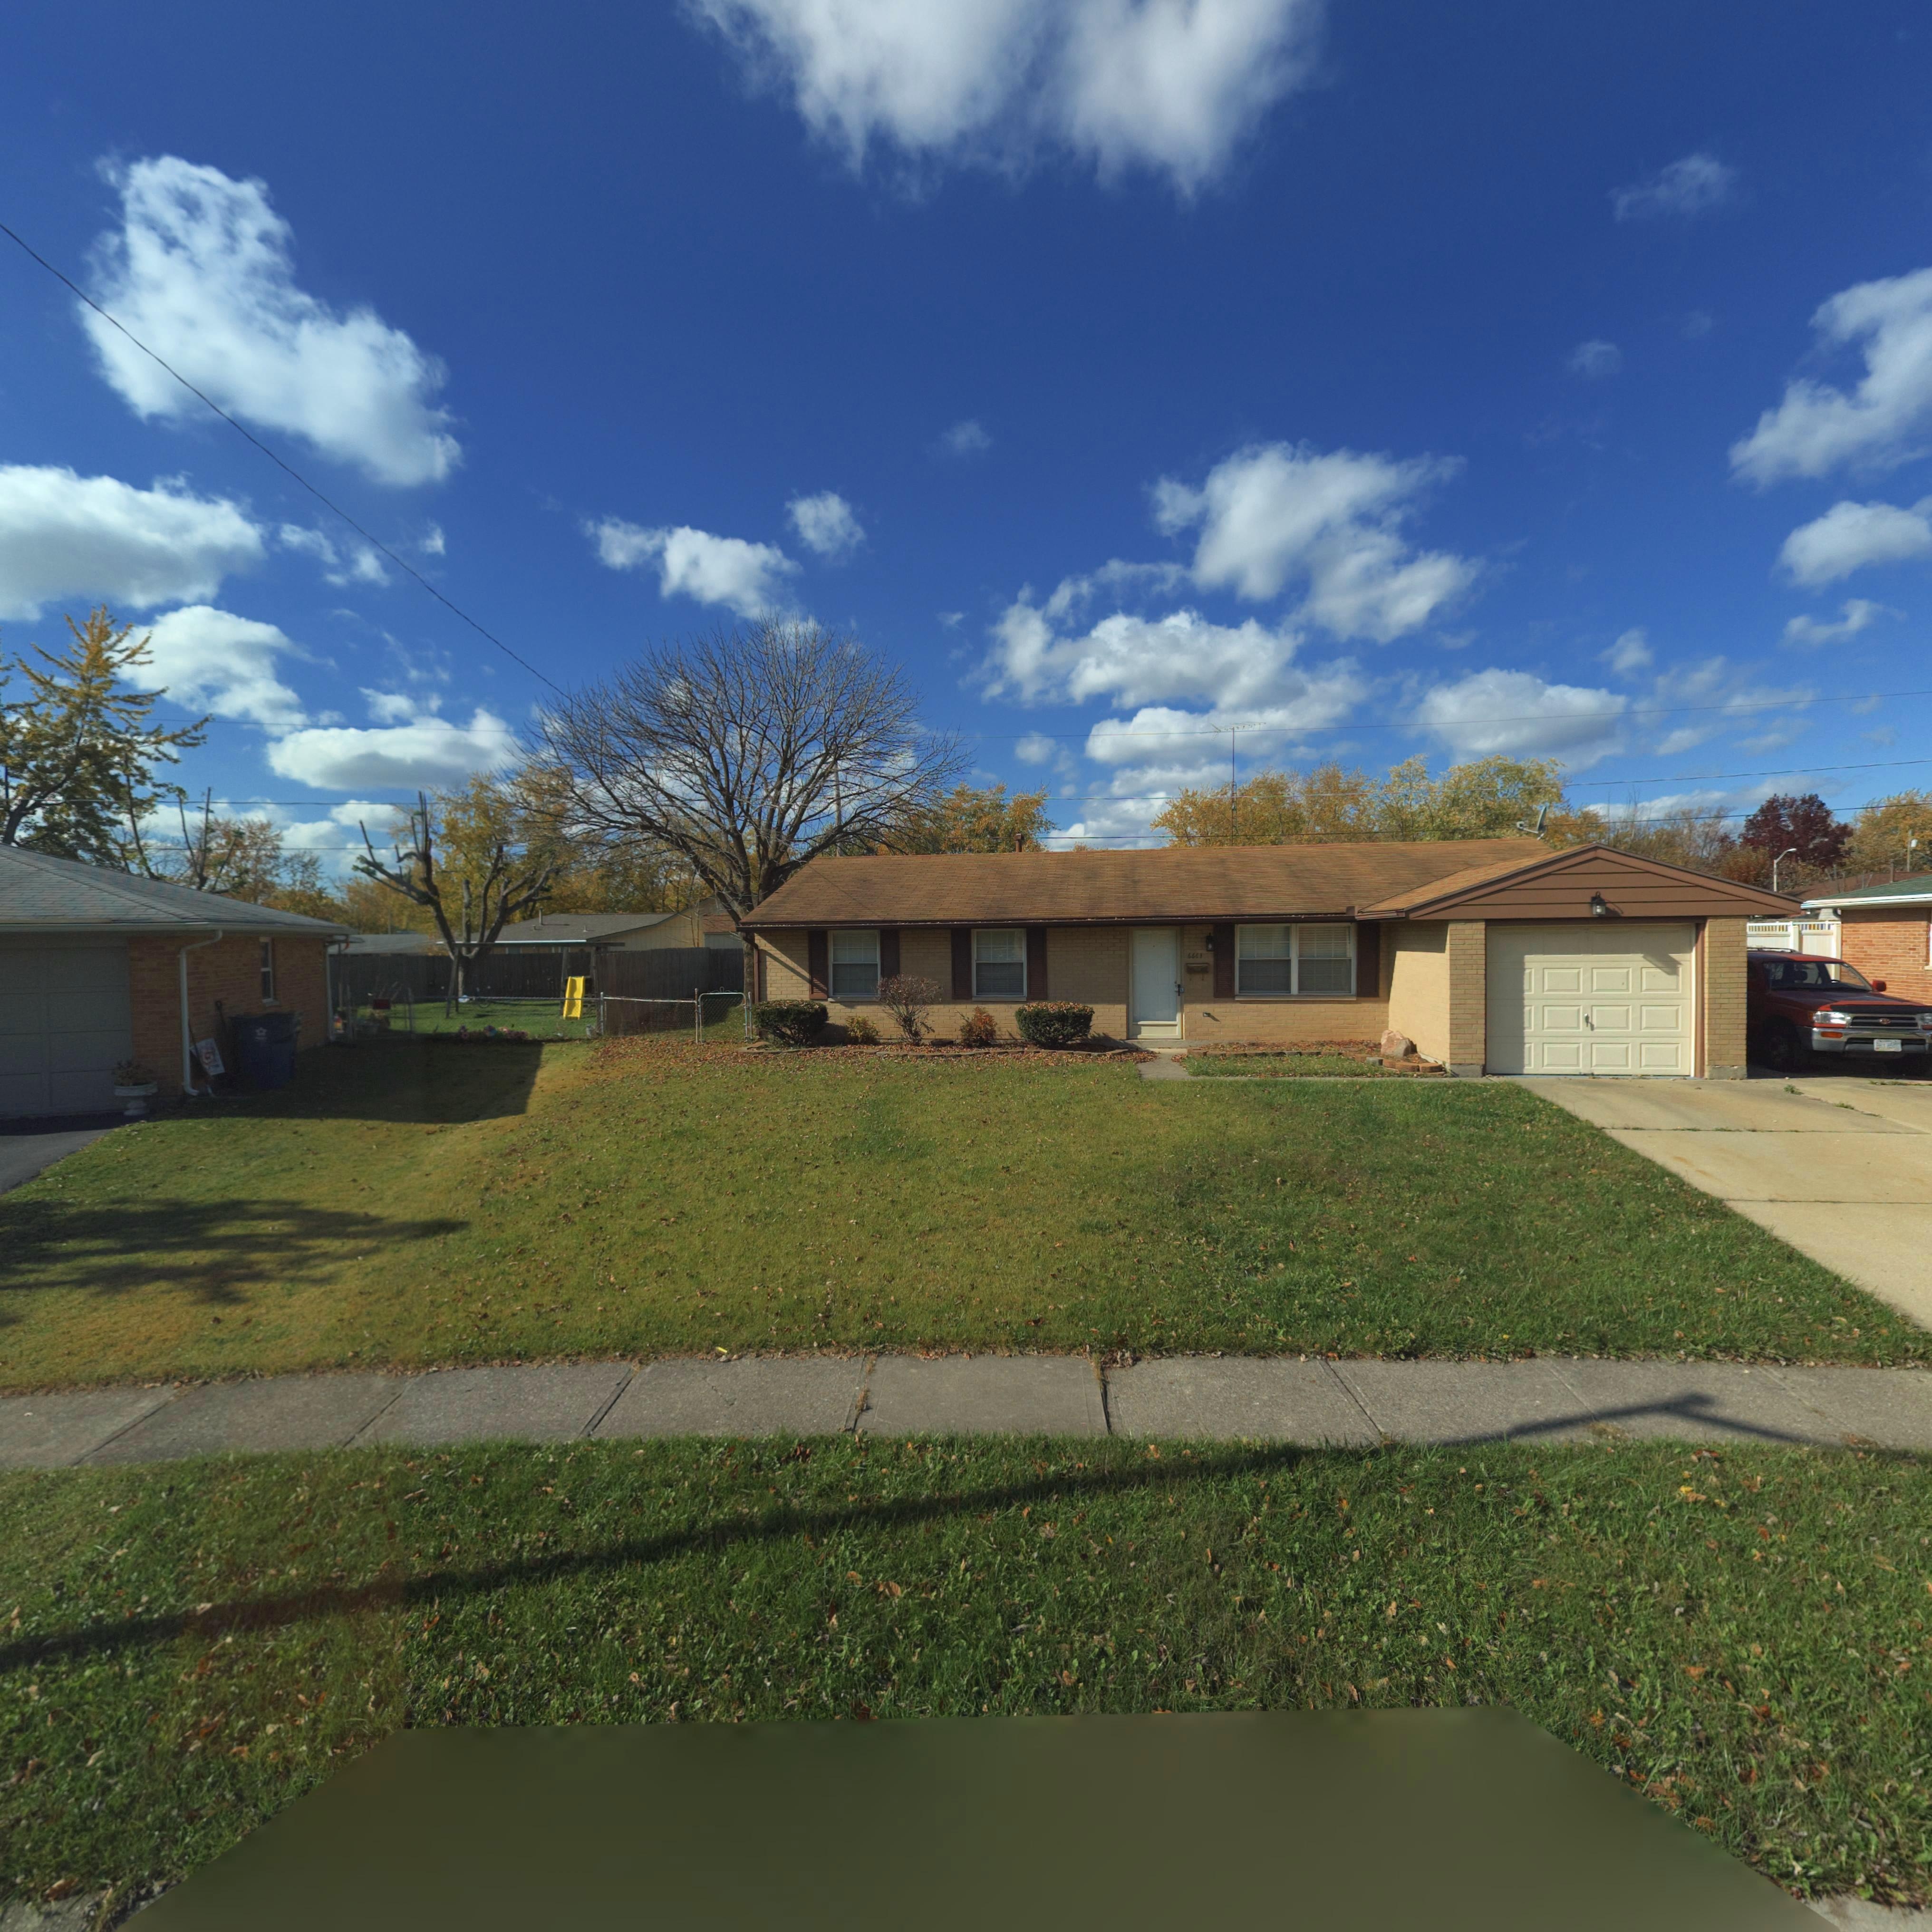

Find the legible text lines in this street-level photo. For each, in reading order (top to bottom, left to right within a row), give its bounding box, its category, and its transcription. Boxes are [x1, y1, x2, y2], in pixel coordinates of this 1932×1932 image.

[1187, 952, 1202, 959] StreetNumber: 6661